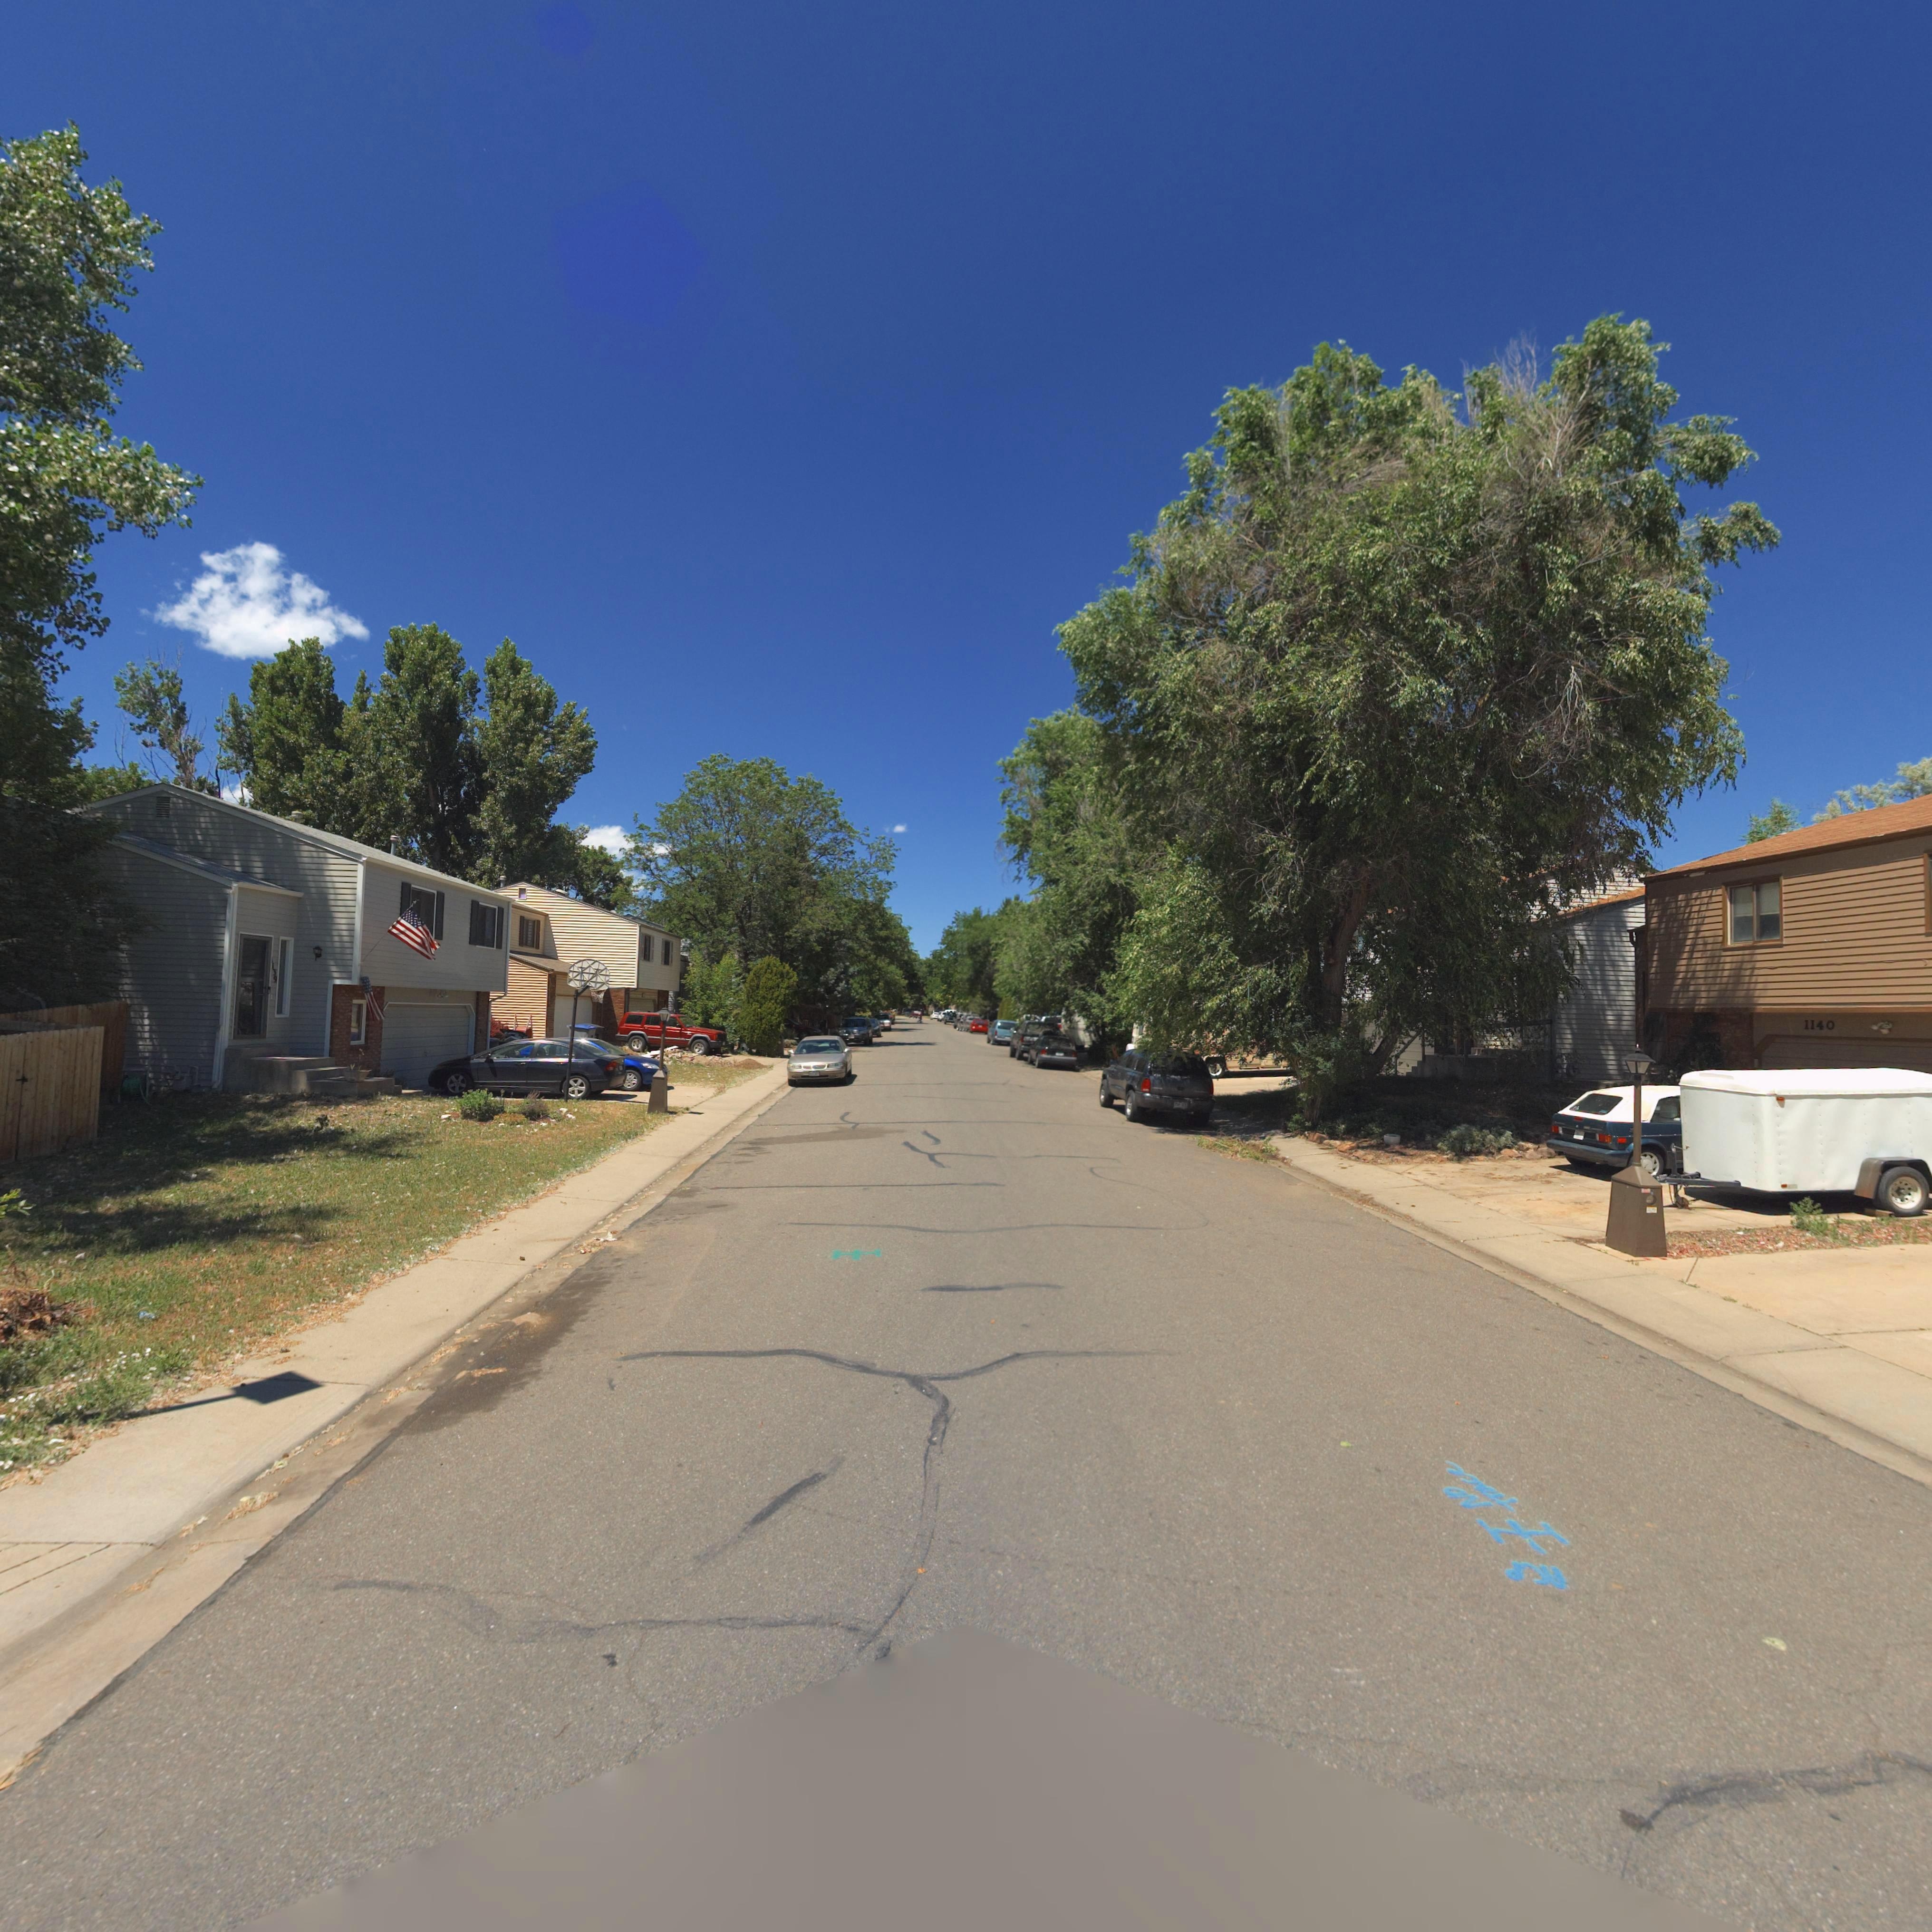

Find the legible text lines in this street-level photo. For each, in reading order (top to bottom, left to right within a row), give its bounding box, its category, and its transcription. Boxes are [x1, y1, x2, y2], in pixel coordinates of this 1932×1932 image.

[271, 962, 277, 982] StreetNumber: 13*
[1804, 1020, 1835, 1030] StreetNumber: 1140